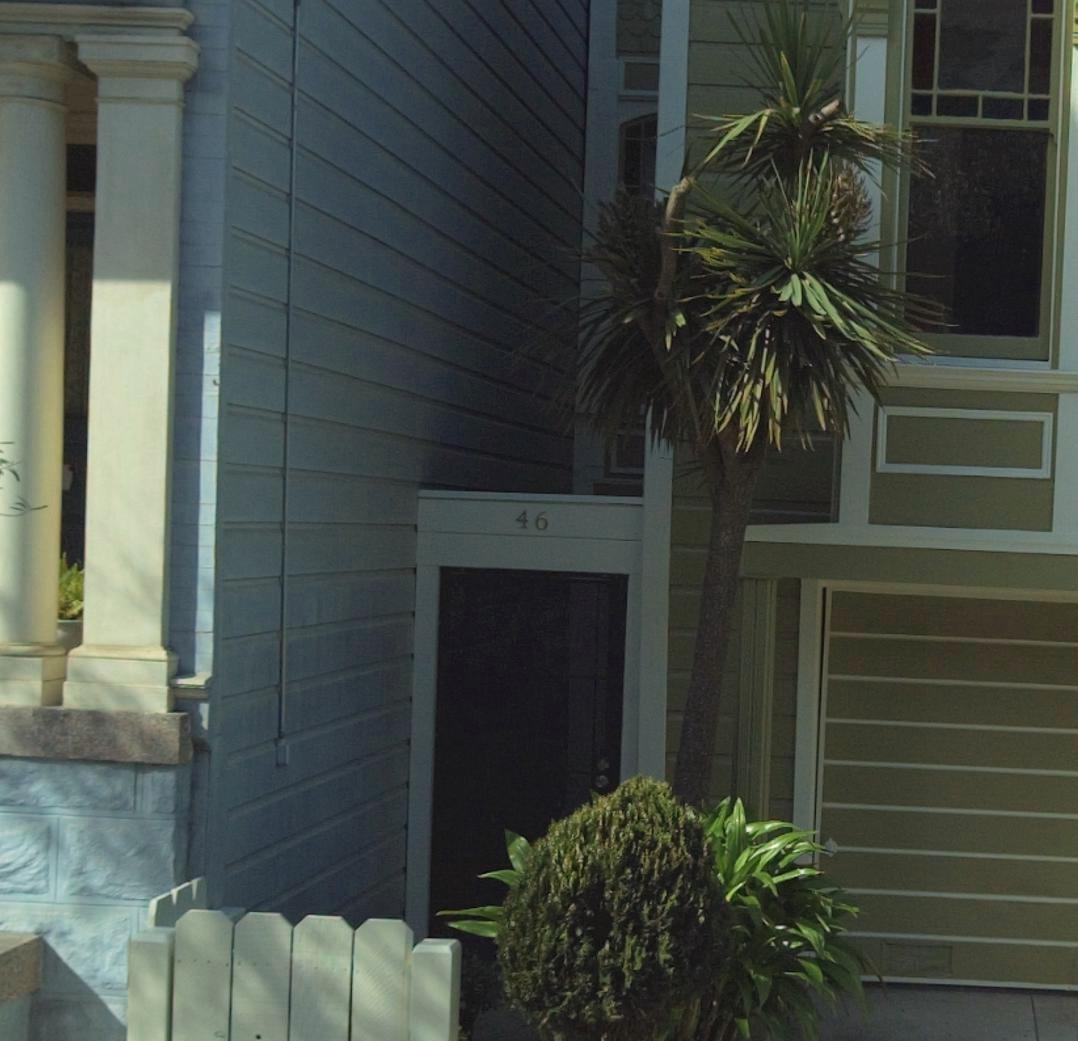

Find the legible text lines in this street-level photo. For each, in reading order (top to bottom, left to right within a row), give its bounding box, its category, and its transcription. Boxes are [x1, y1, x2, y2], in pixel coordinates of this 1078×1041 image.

[515, 509, 549, 532] StreetNumber: 46